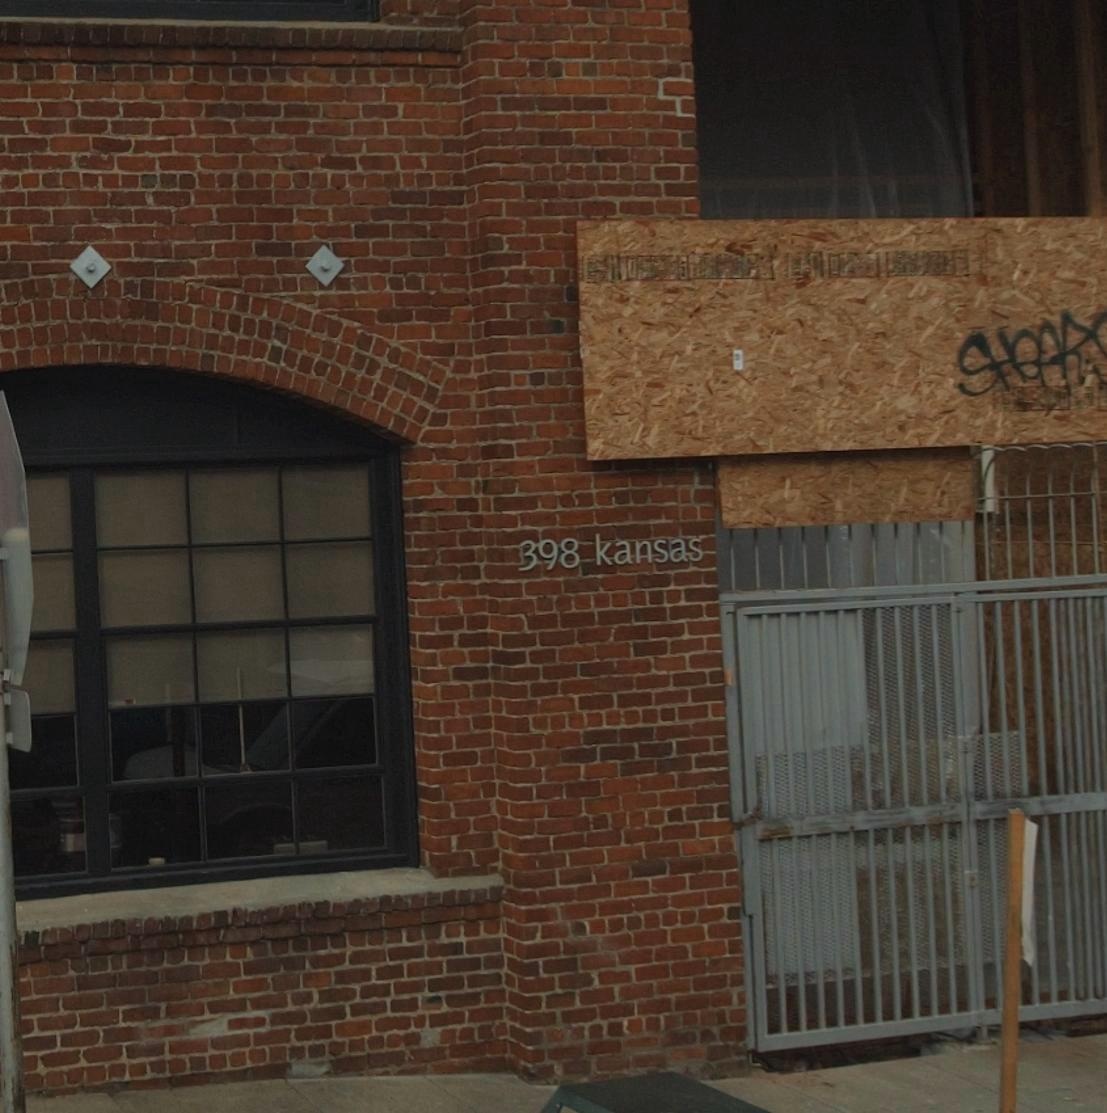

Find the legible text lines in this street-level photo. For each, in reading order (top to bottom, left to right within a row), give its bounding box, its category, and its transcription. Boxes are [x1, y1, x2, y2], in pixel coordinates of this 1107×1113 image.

[517, 536, 583, 574] StreetNumber: 398
[594, 531, 705, 567] StreetName: kansas